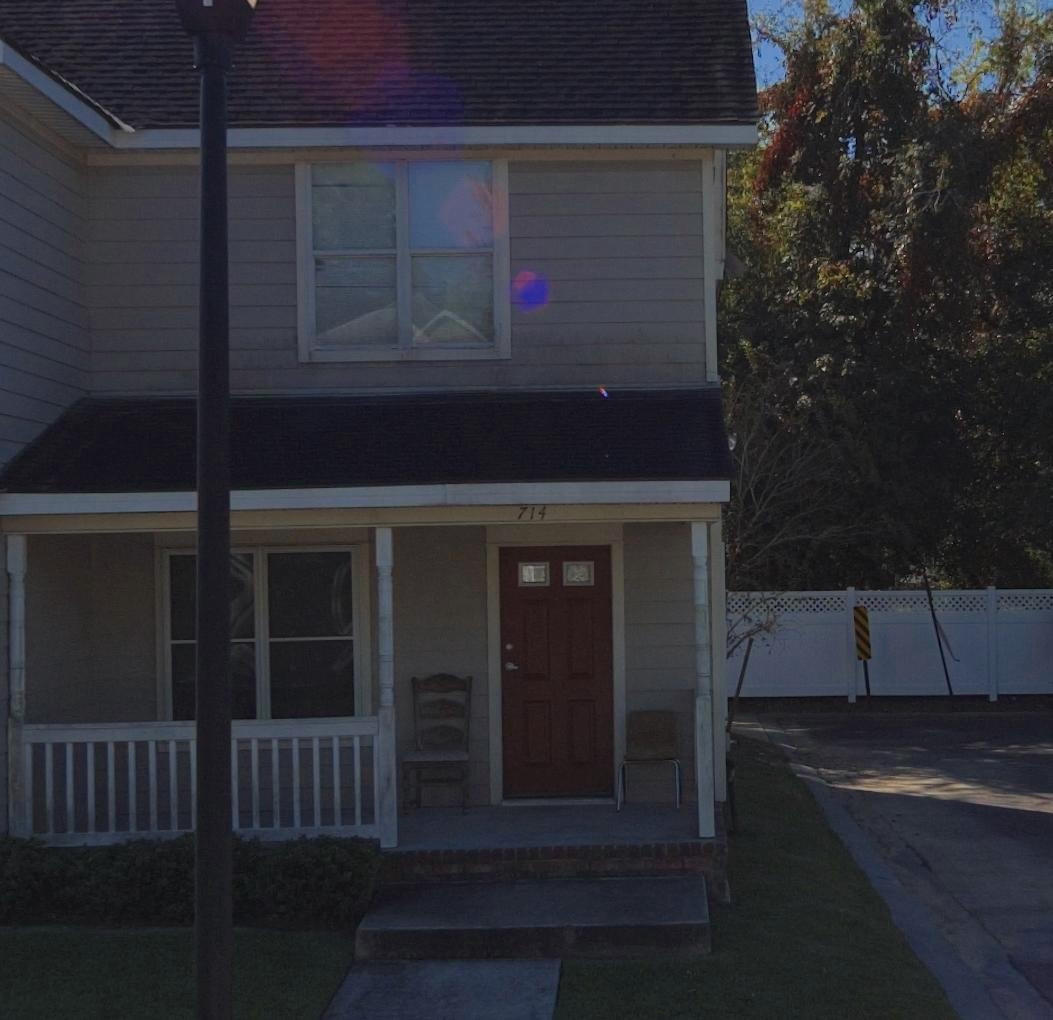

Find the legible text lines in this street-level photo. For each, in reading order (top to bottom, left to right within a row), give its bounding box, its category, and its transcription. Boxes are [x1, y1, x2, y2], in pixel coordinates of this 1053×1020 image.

[515, 504, 549, 523] StreetNumber: 714